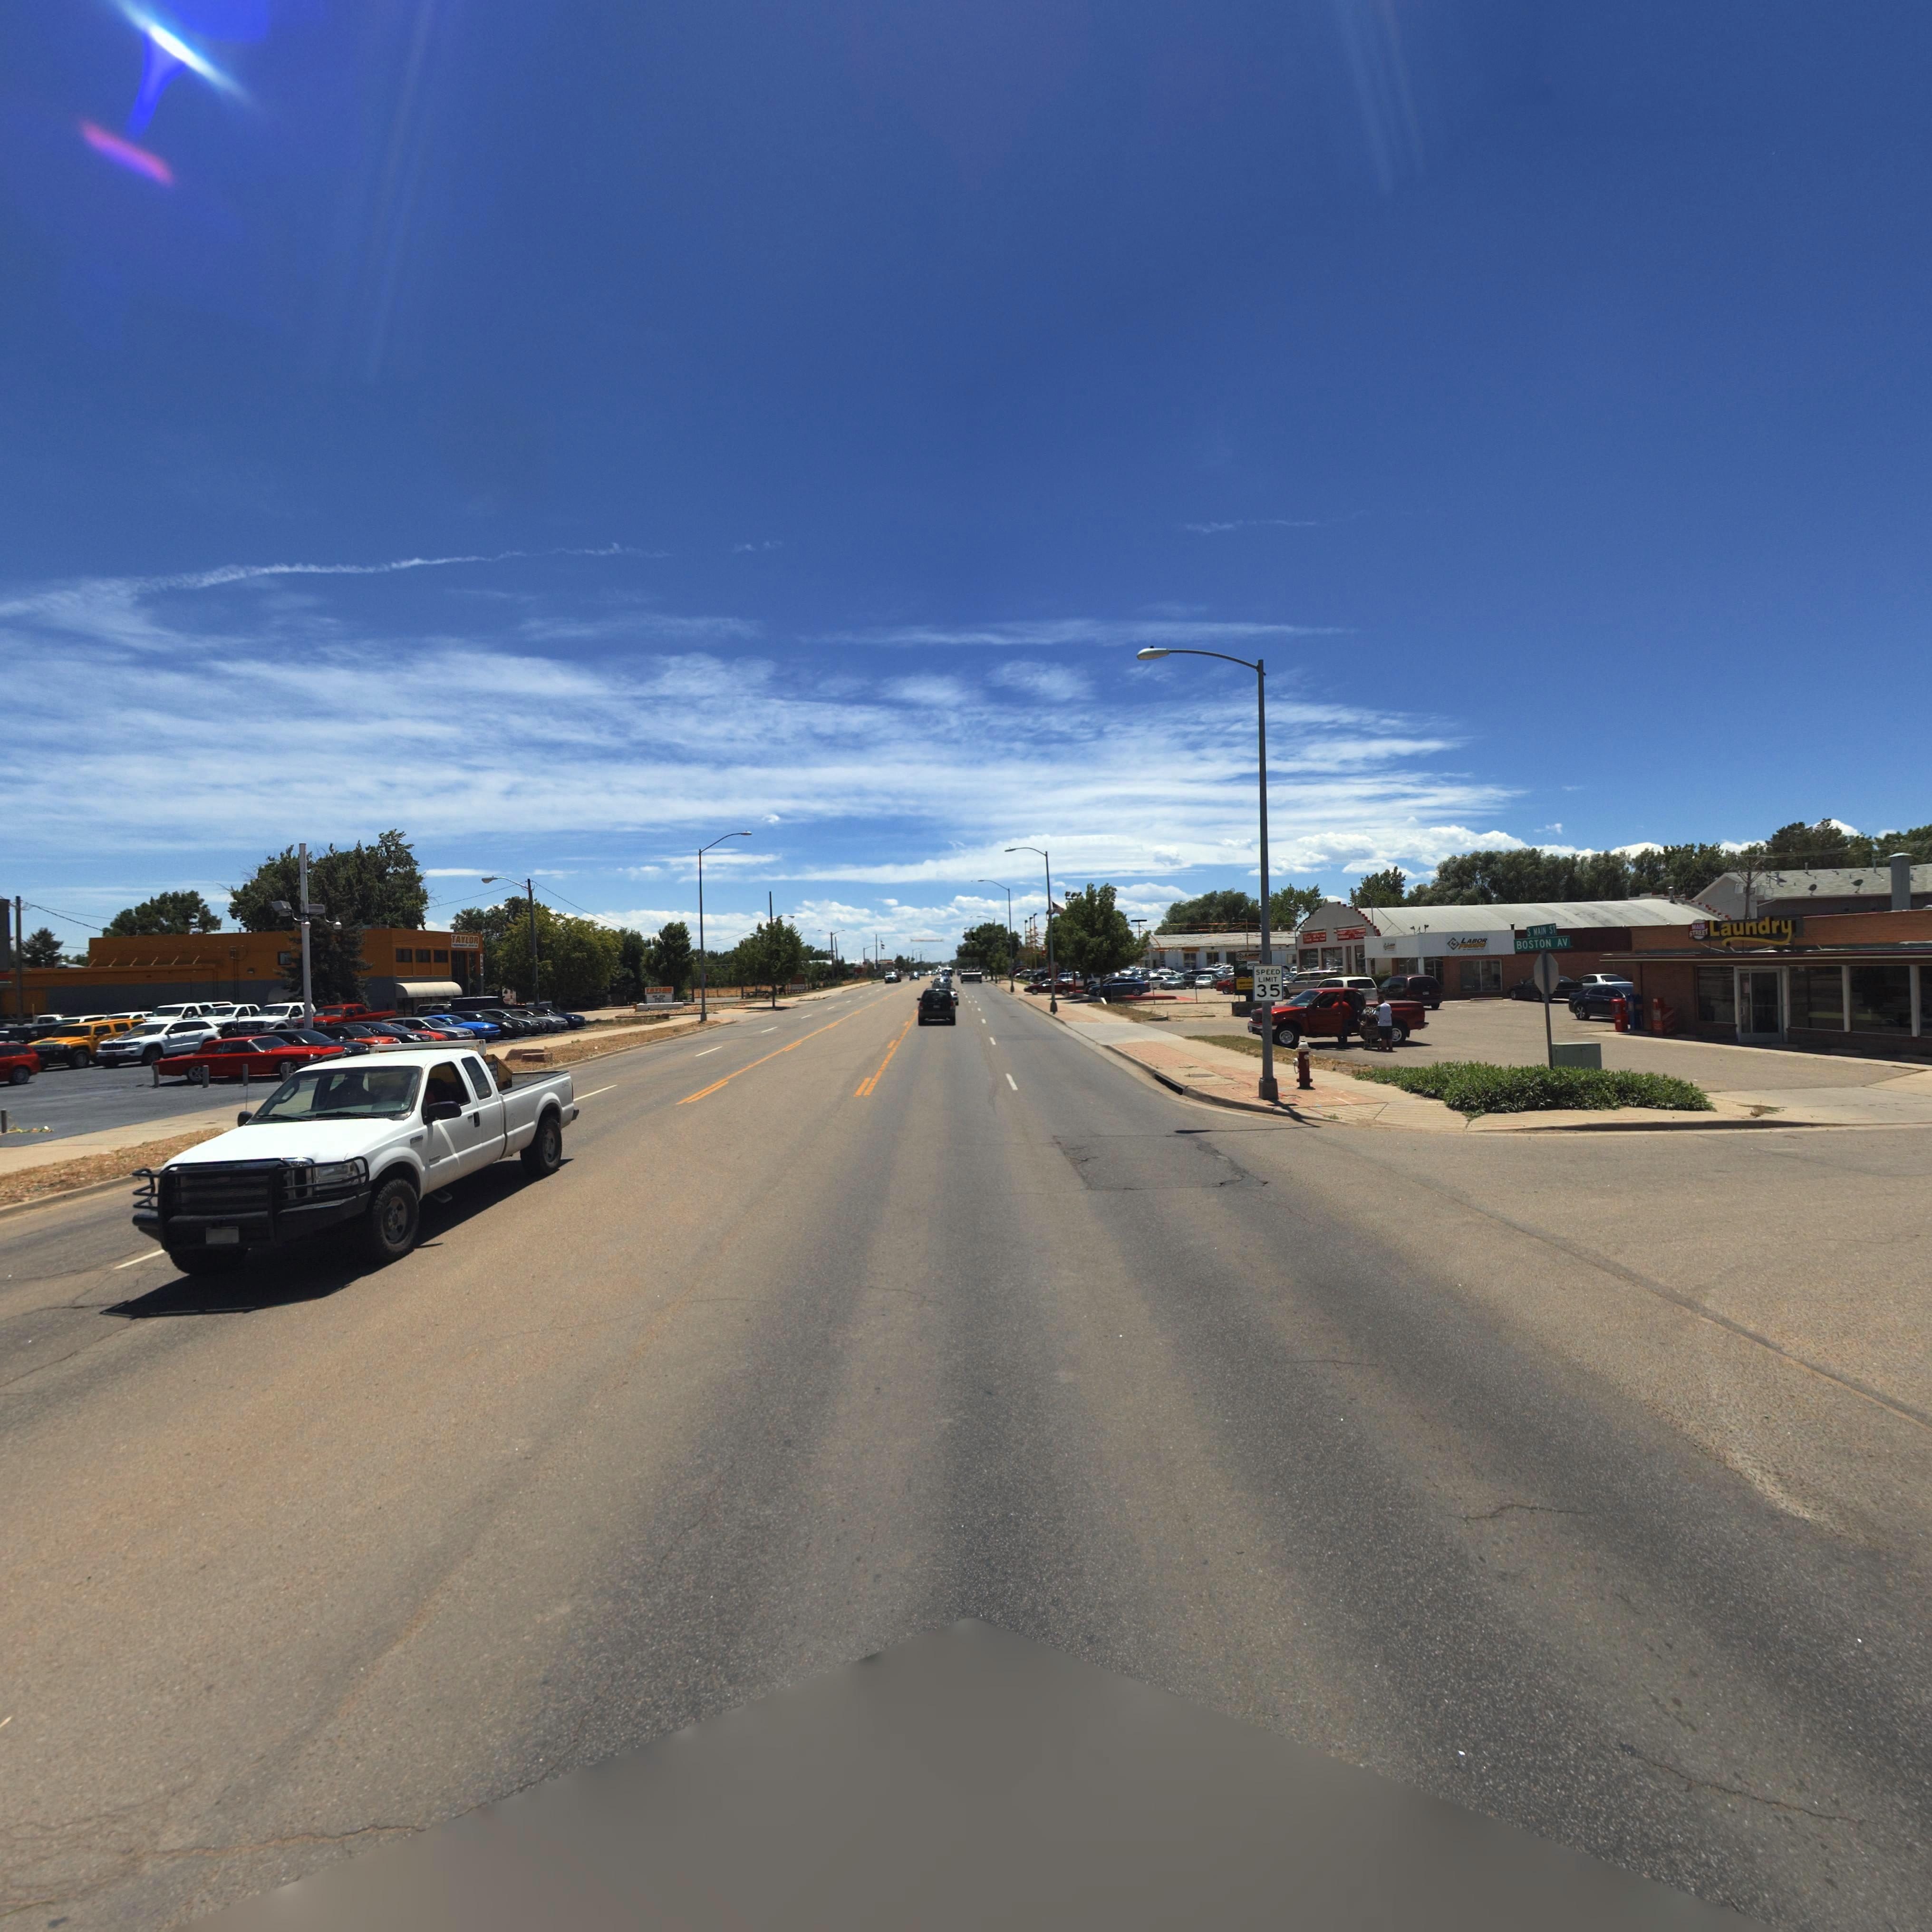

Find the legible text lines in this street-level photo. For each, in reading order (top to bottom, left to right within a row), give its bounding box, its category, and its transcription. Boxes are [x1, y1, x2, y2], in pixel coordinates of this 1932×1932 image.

[1526, 924, 1556, 937] BusinessName: S MAIN ST
[1691, 923, 1705, 930] BusinessName: MAIN
[1687, 927, 1710, 938] BusinessName: STREET
[1709, 916, 1792, 939] BusinessName: Laundry
[451, 935, 479, 945] BusinessName: TAYLOR
[1387, 942, 1395, 946] BusinessName: L***
[1457, 942, 1486, 950] BusinessName: ***ER*
[1460, 937, 1488, 944] BusinessName: LABOR
[1517, 937, 1567, 949] StreetName: BOSTON AV
[1244, 953, 1260, 956] BusinessName: LABOR
[479, 954, 483, 975] StreetNumber: 130
[645, 987, 672, 992] BusinessName: TAYLOR